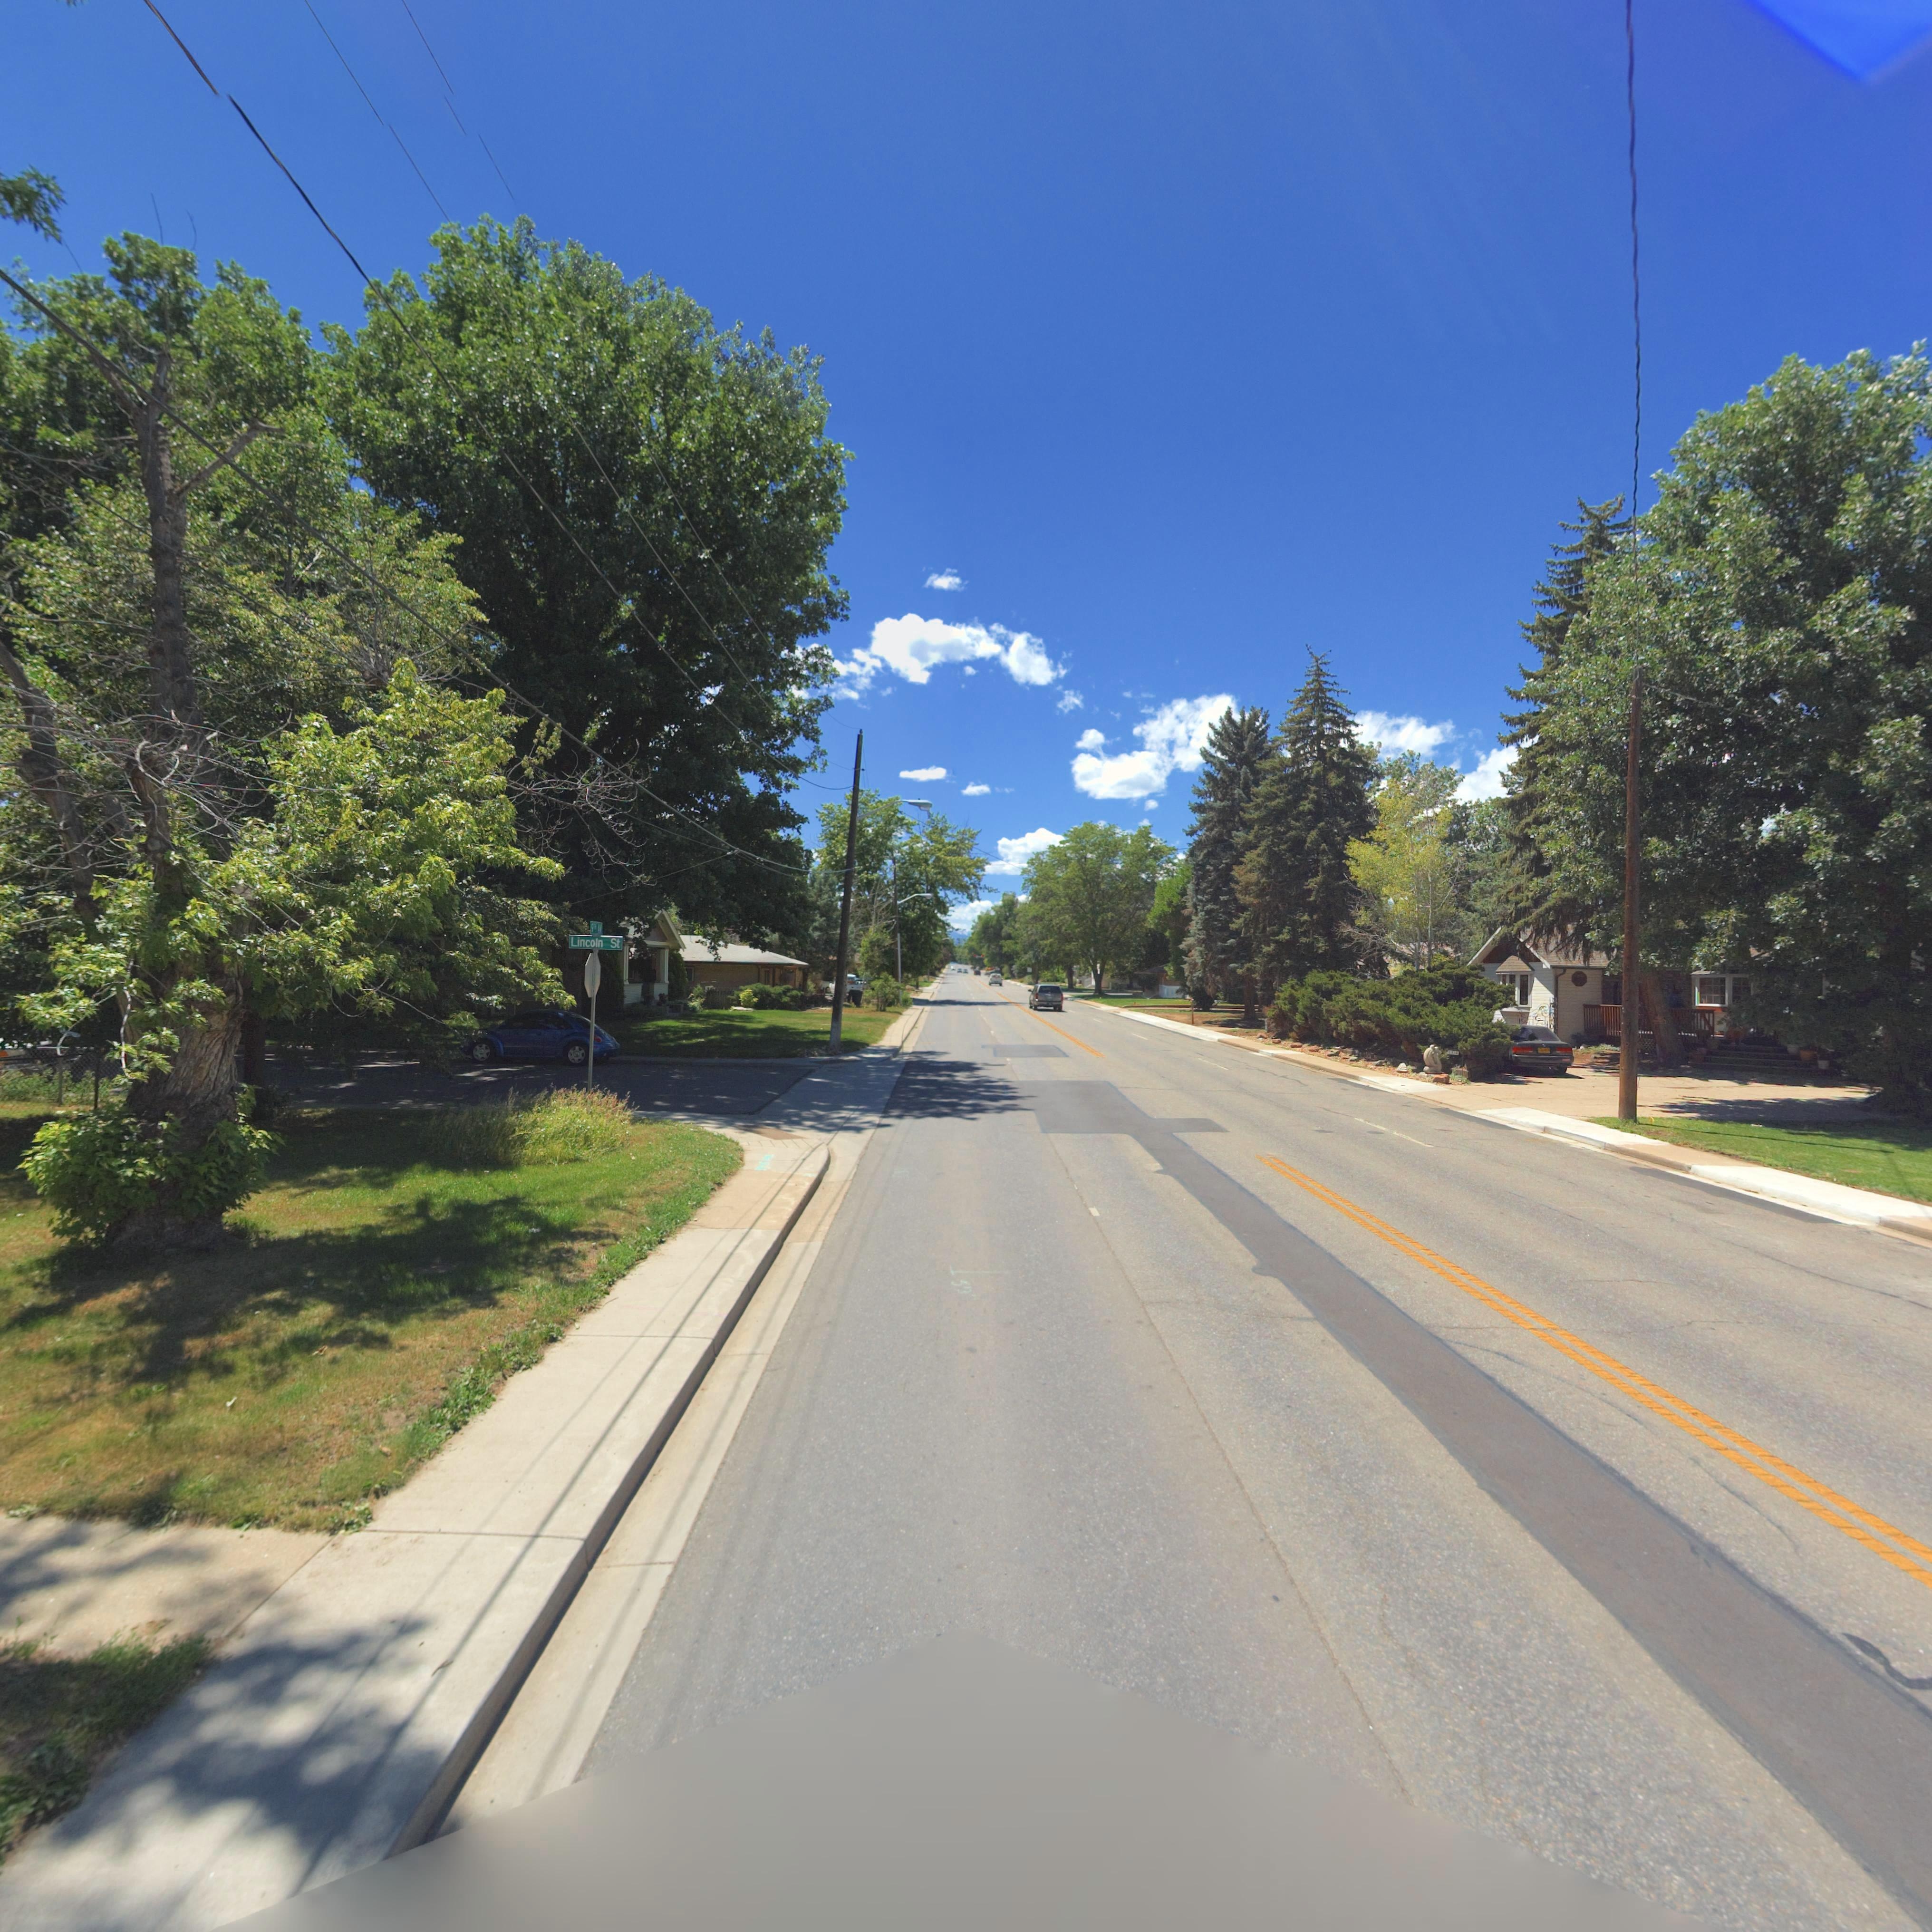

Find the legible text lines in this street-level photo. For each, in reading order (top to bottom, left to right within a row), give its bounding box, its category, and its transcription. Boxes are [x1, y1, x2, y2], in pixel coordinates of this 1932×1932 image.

[590, 923, 602, 933] StreetName: 9TH AV
[570, 936, 620, 948] StreetName: Lincoln St
[1449, 1050, 1458, 1055] StreetNumber: 1*1*